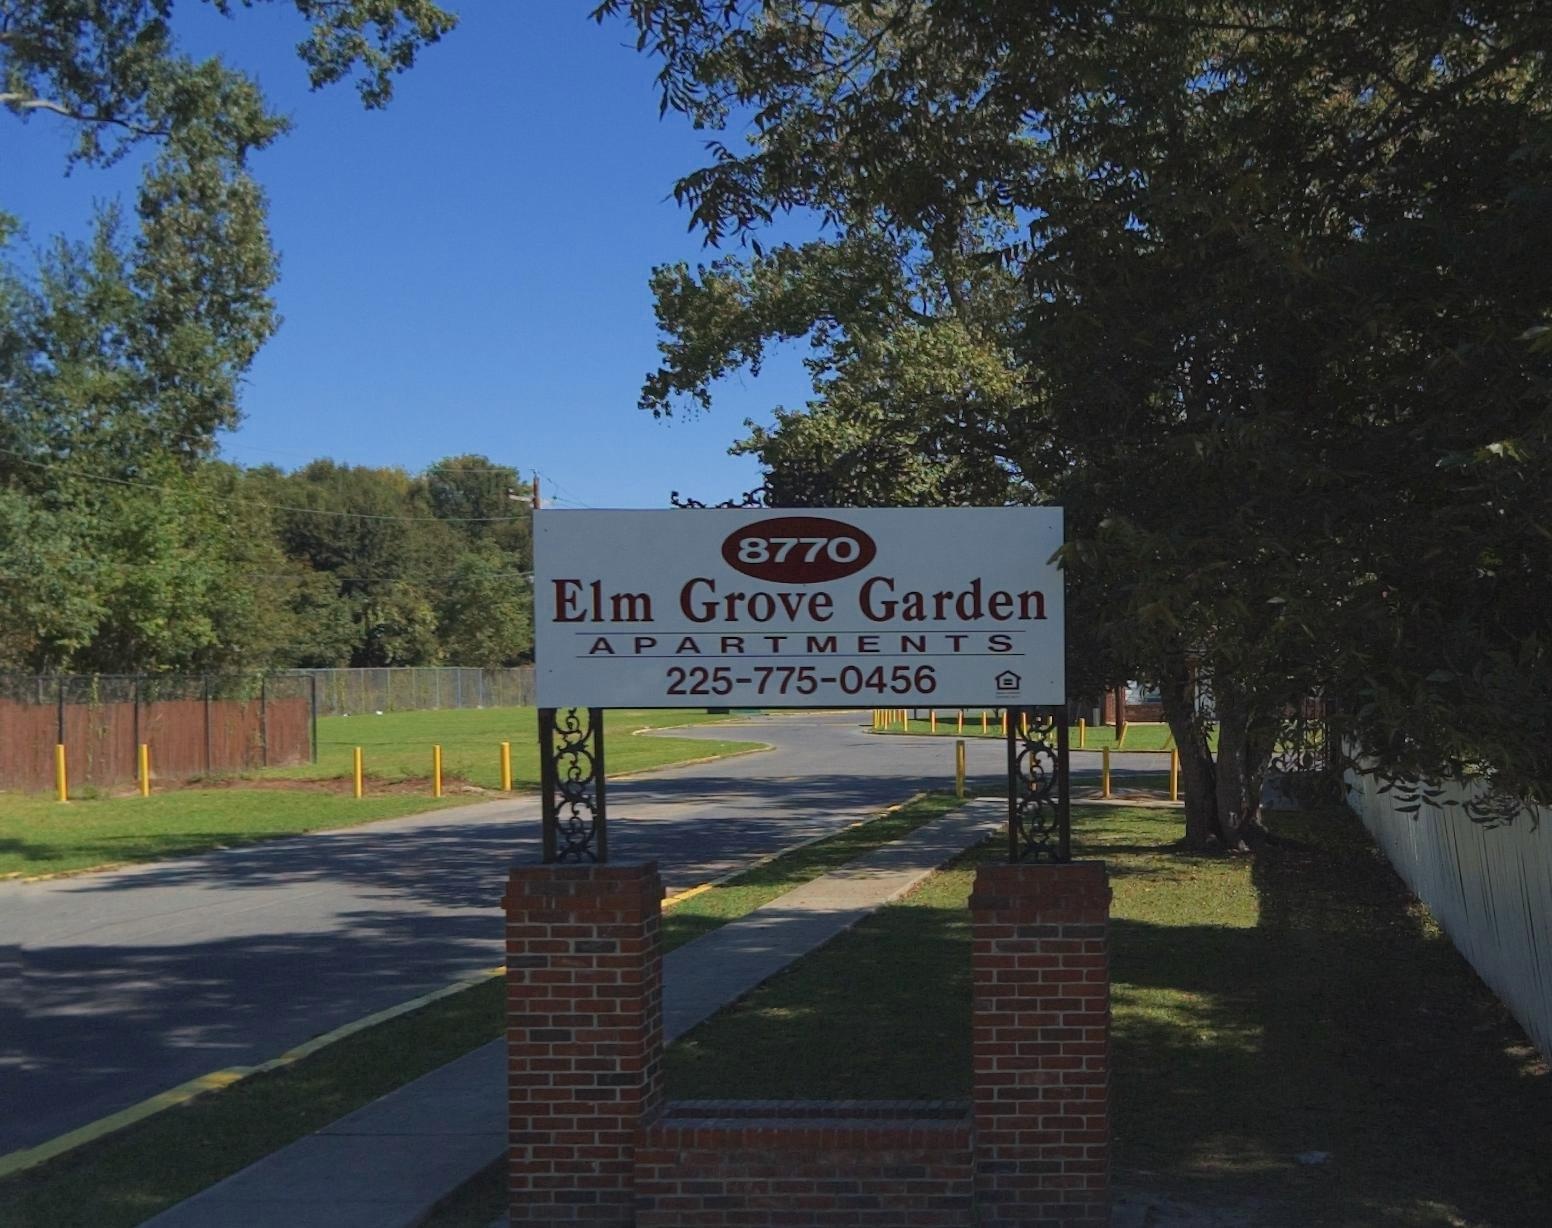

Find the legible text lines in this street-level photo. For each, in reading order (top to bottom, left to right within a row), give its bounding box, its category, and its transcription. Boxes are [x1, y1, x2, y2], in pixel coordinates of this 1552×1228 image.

[736, 536, 862, 564] StreetNumber: 8770
[550, 576, 1052, 624] BusinessName: Elm Grove Garden
[589, 633, 1014, 656] BusinessName: APARTMENTS
[666, 664, 939, 696] None: 225-775-0456